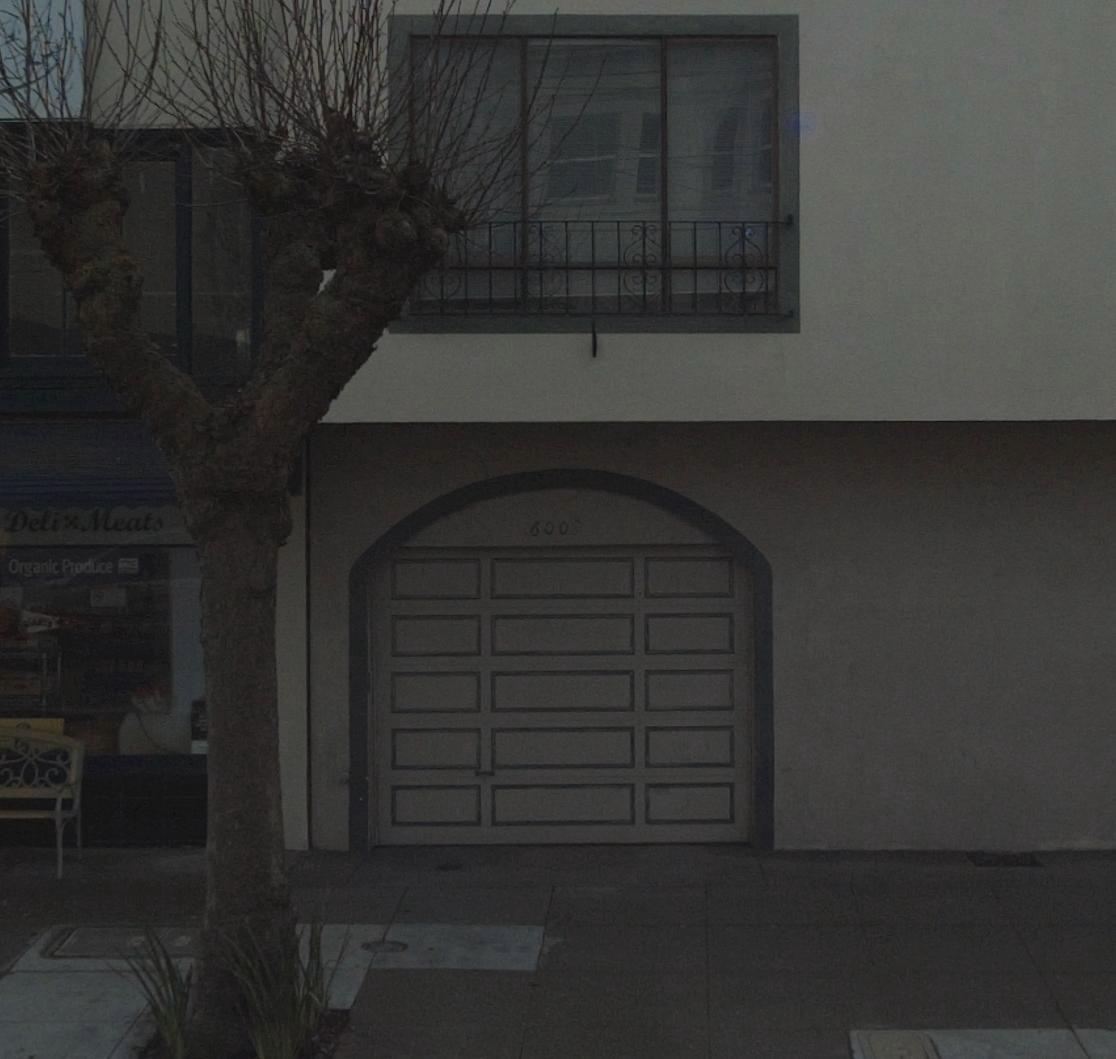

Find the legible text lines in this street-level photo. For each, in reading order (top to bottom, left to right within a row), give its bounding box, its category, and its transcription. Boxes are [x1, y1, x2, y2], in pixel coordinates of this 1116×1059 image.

[2, 507, 166, 532] None: Deli x Meats
[528, 519, 570, 537] StreetNumber: 600
[9, 556, 115, 578] None: Organic Produce